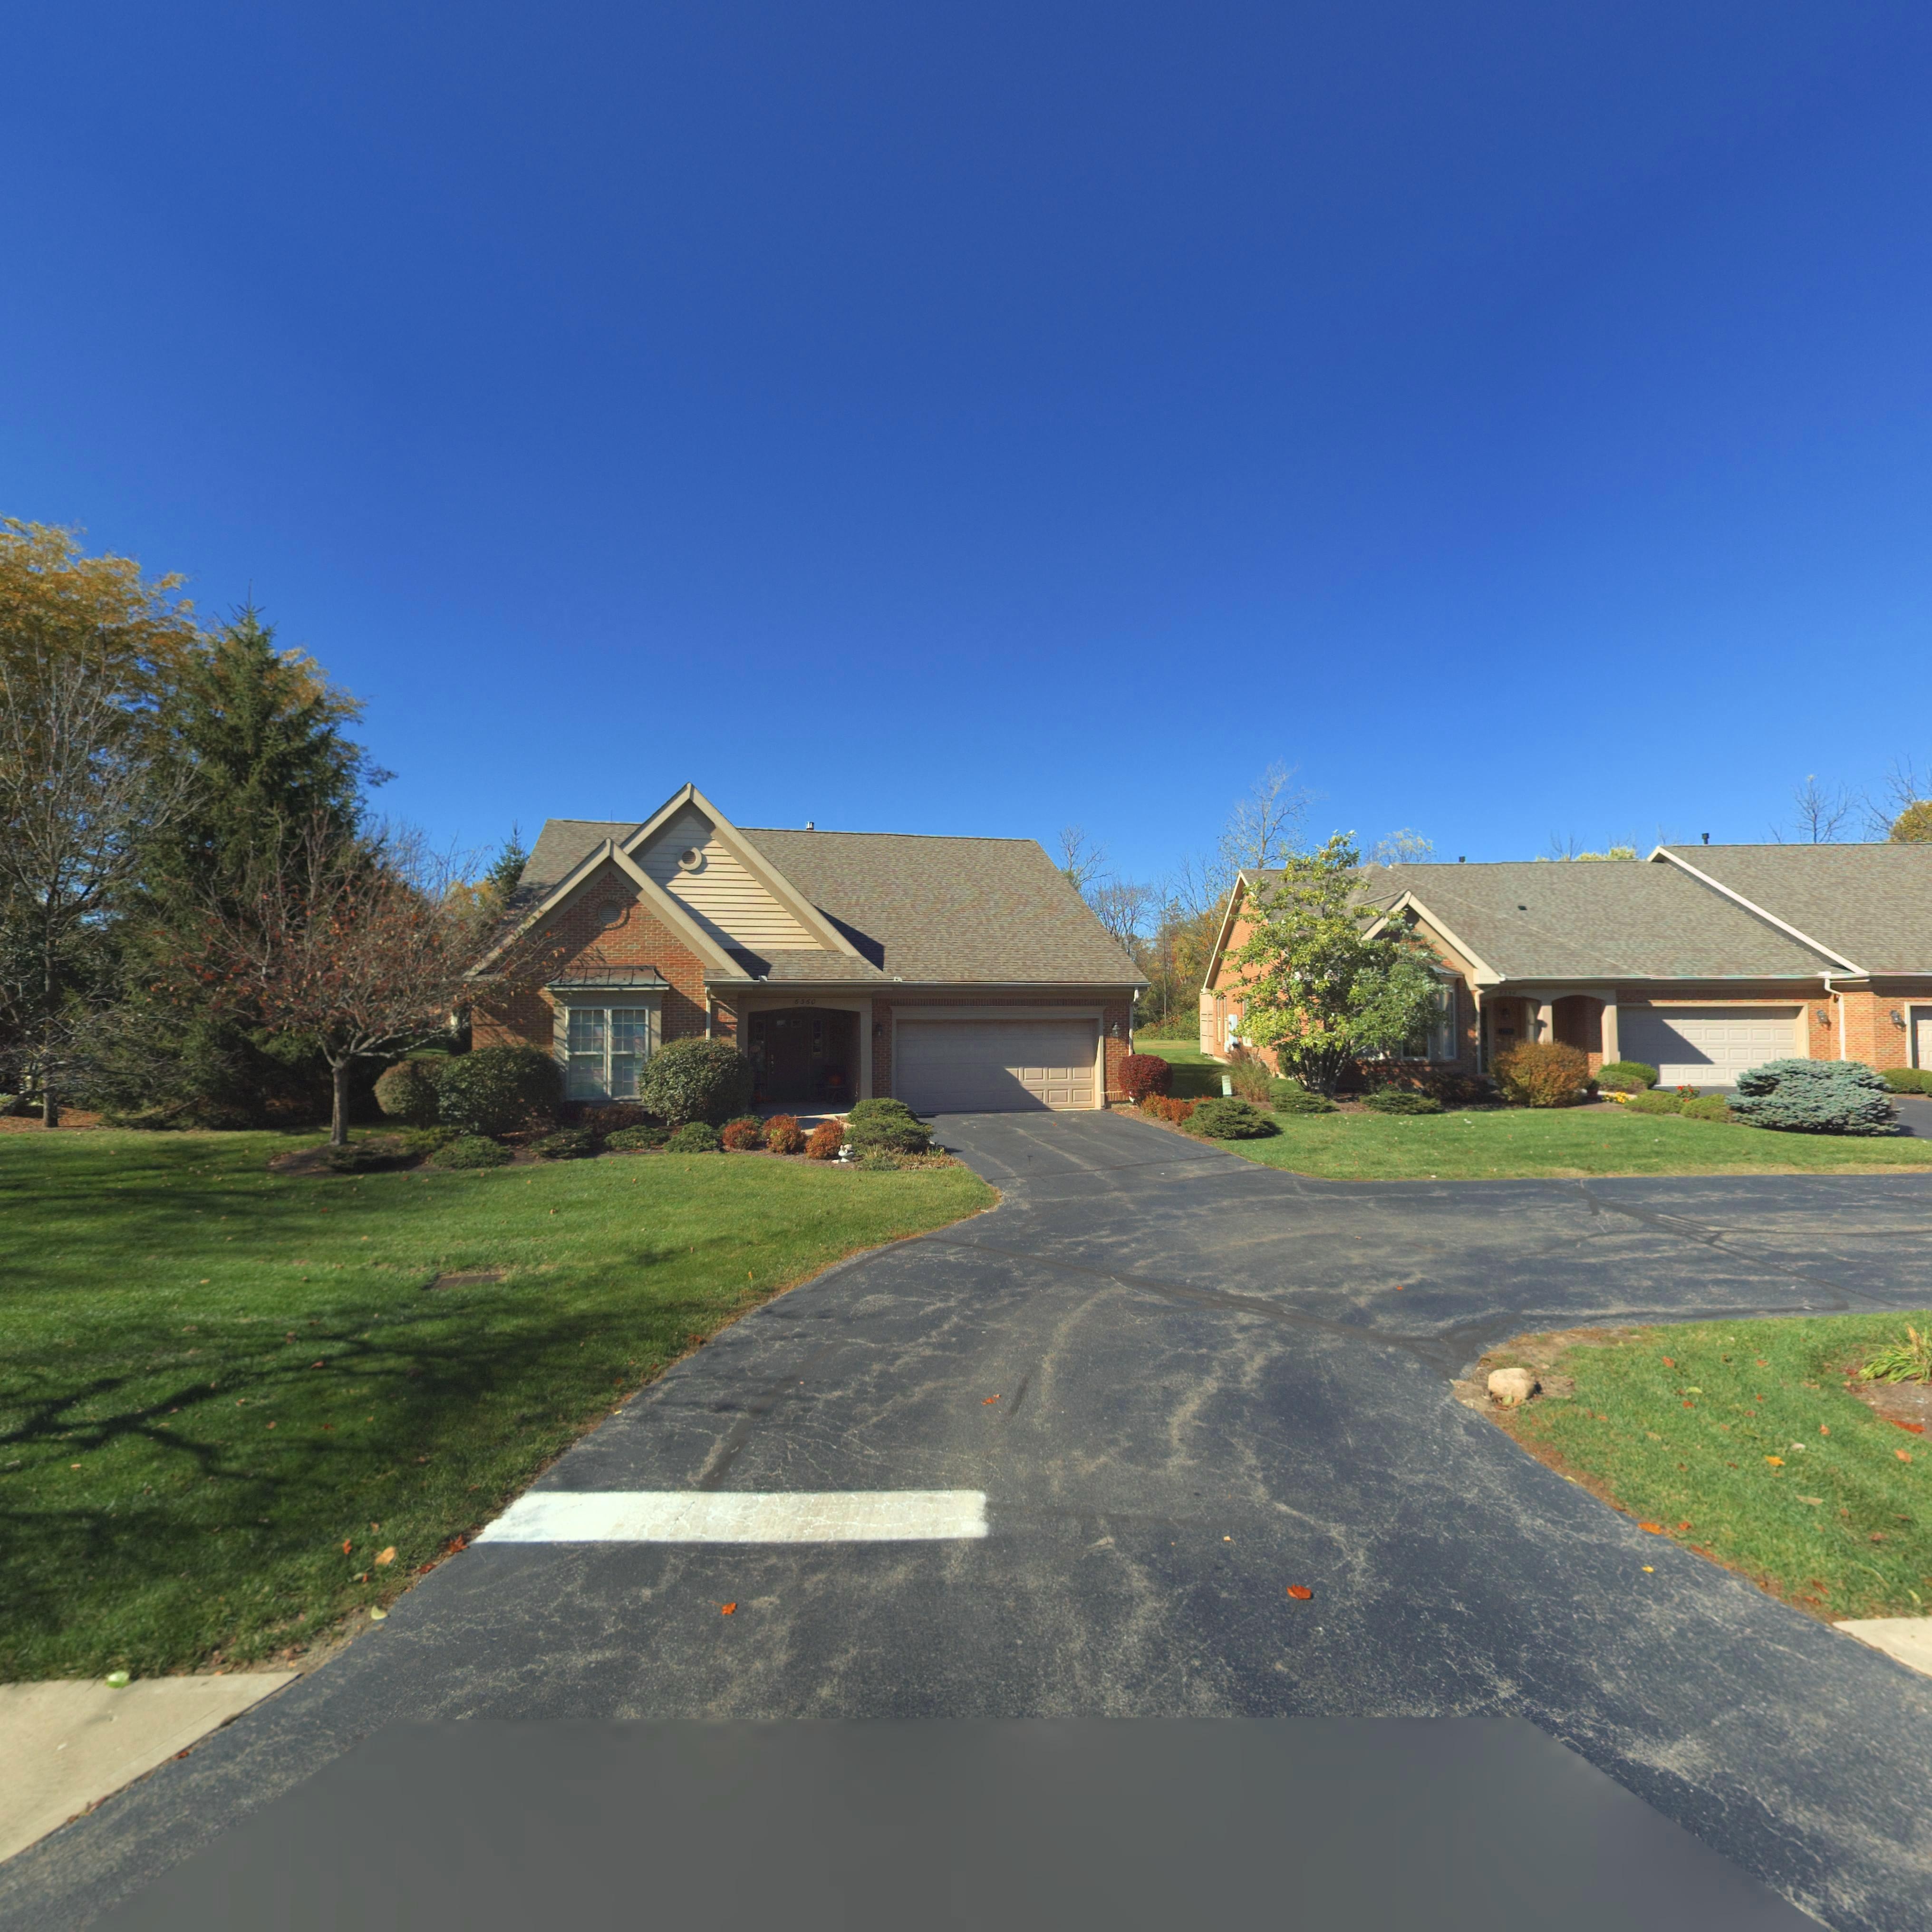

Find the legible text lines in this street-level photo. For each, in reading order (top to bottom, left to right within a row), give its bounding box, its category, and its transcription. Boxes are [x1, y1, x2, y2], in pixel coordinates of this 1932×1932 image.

[1497, 990, 1517, 996] StreetNumber: 6***
[794, 998, 817, 1005] StreetNumber: 6*60